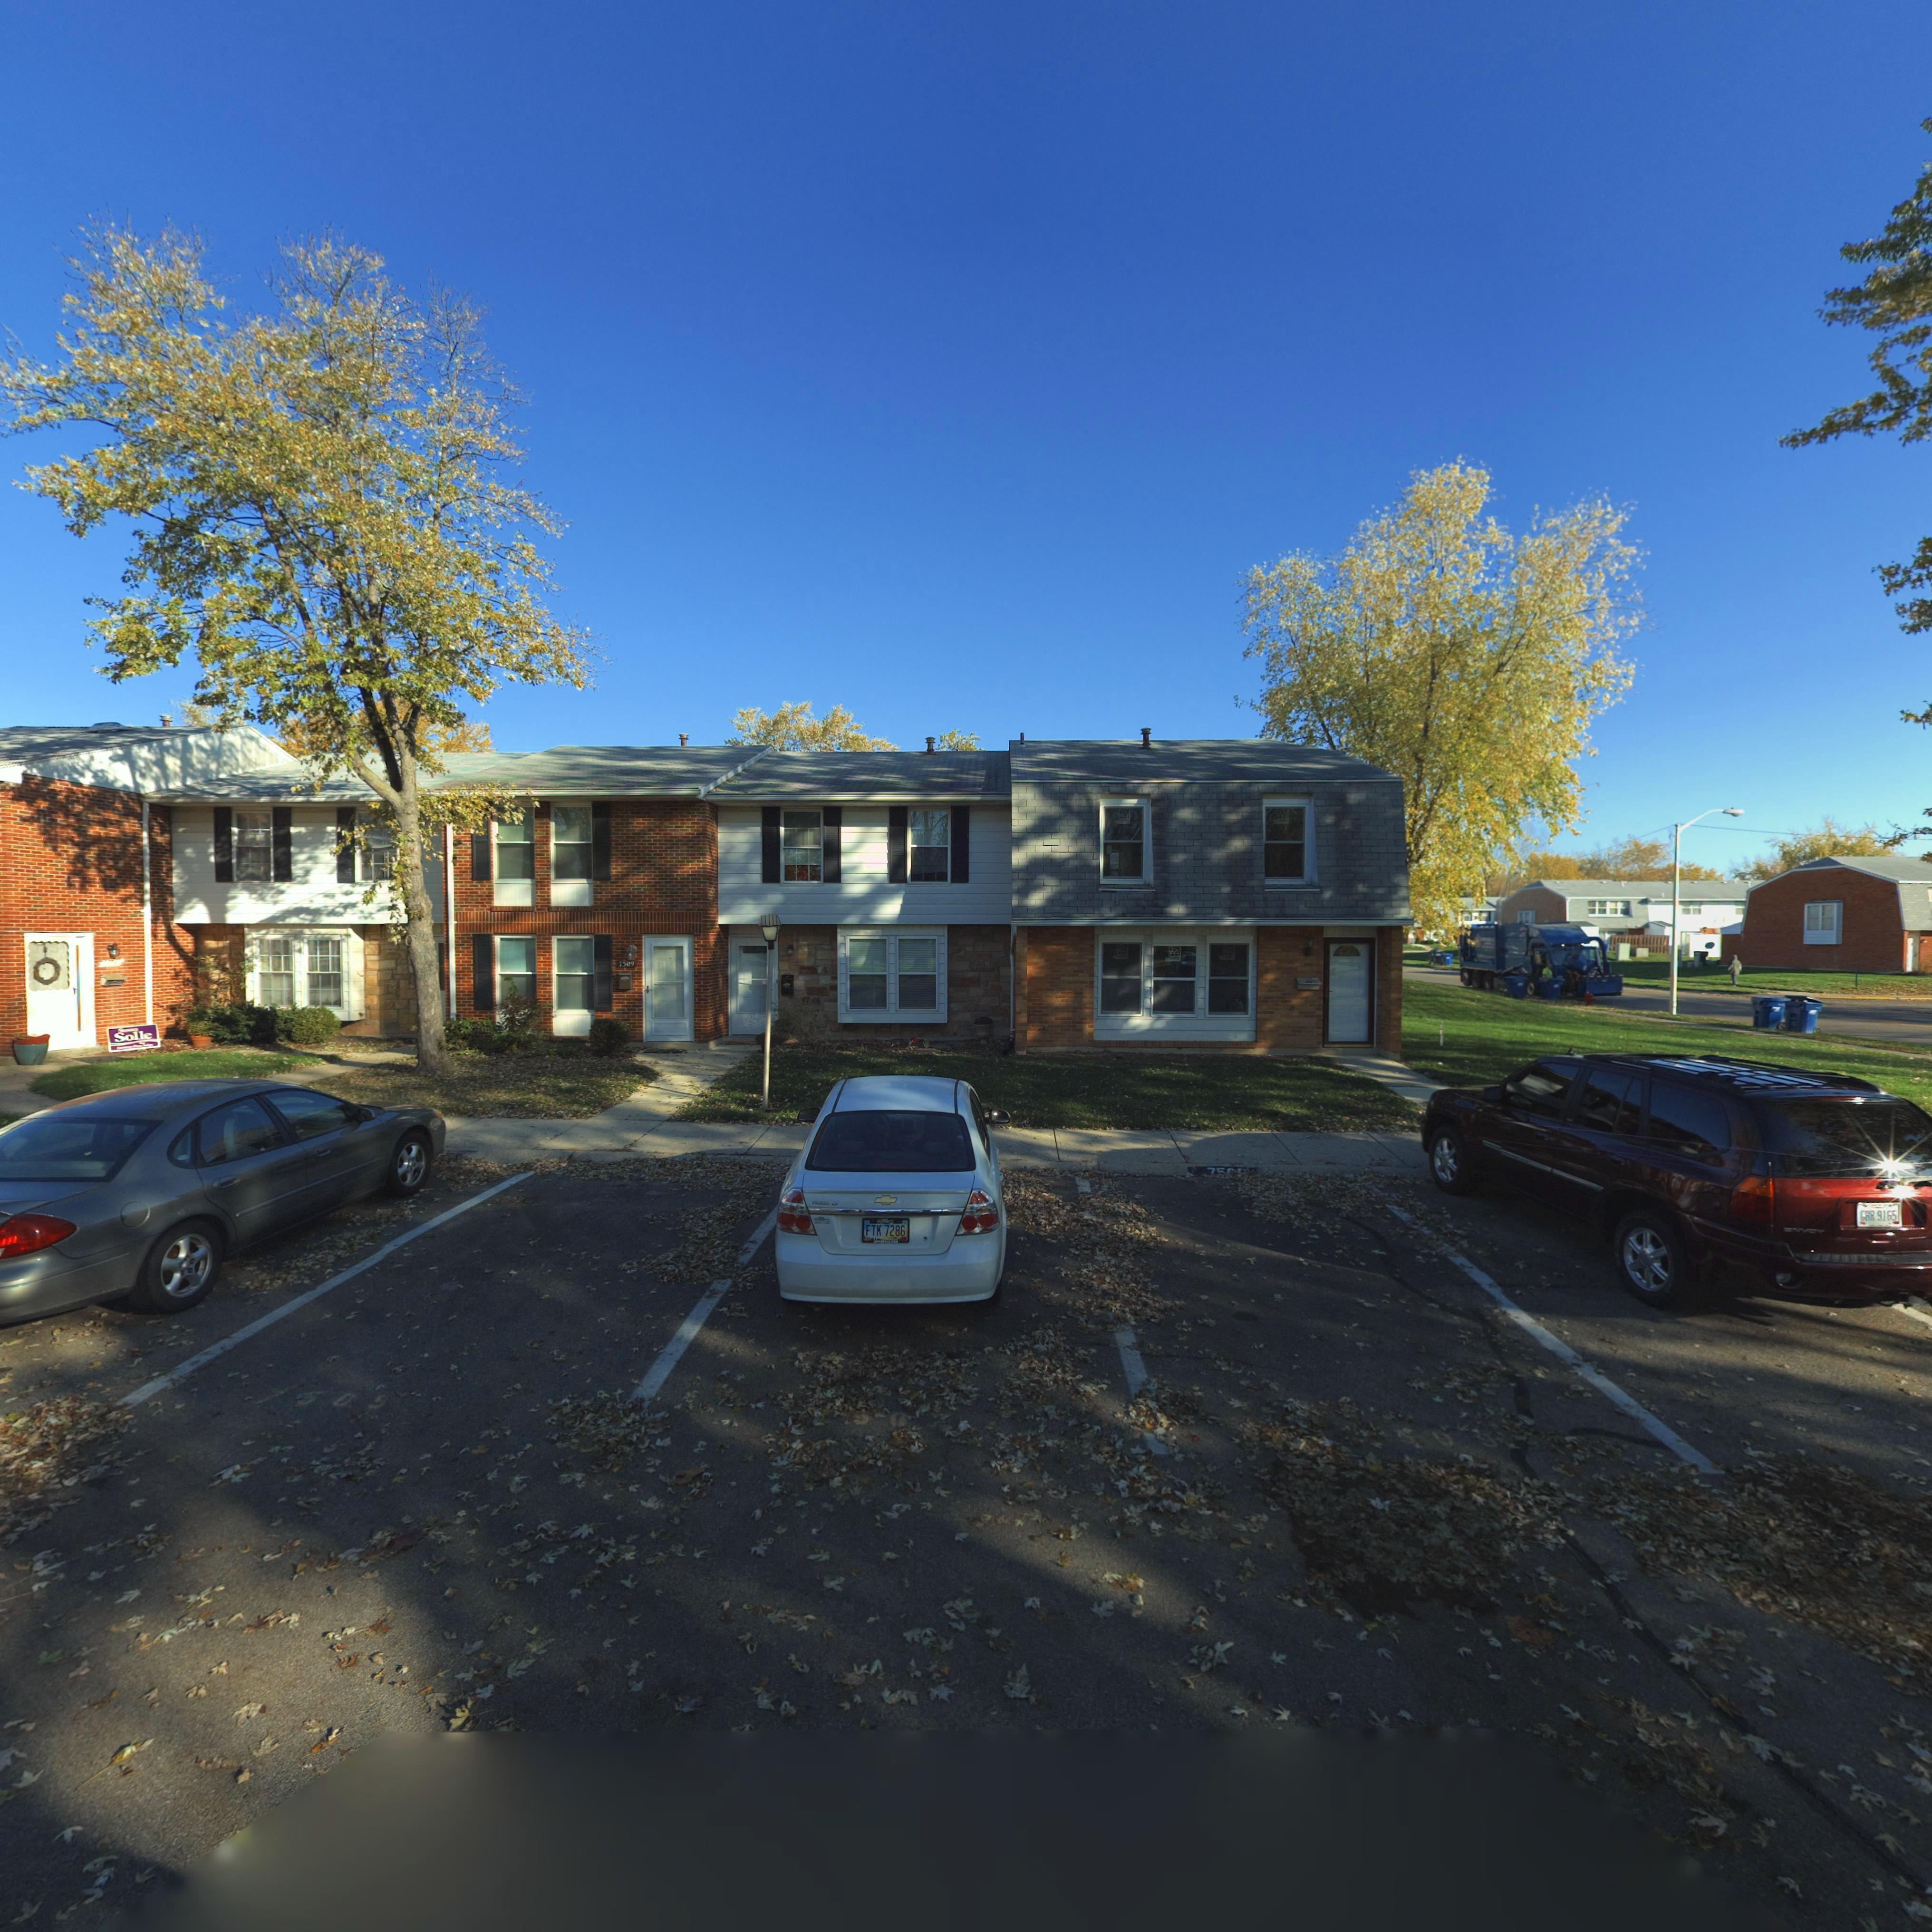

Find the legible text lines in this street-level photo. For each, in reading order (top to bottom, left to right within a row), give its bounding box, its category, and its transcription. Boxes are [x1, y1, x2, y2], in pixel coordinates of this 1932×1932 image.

[618, 960, 635, 968] StreetNumber: 7509
[112, 1031, 154, 1044] None: Solle
[1206, 1167, 1227, 1176] StreetNumber: 7*
[1860, 1208, 1897, 1221] None: GBR 9165
[863, 1222, 907, 1238] None: FTK 7286
[1782, 1224, 1826, 1235] None: ENVOY
[250, 1387, 392, 1412] StreetNumber: 750*